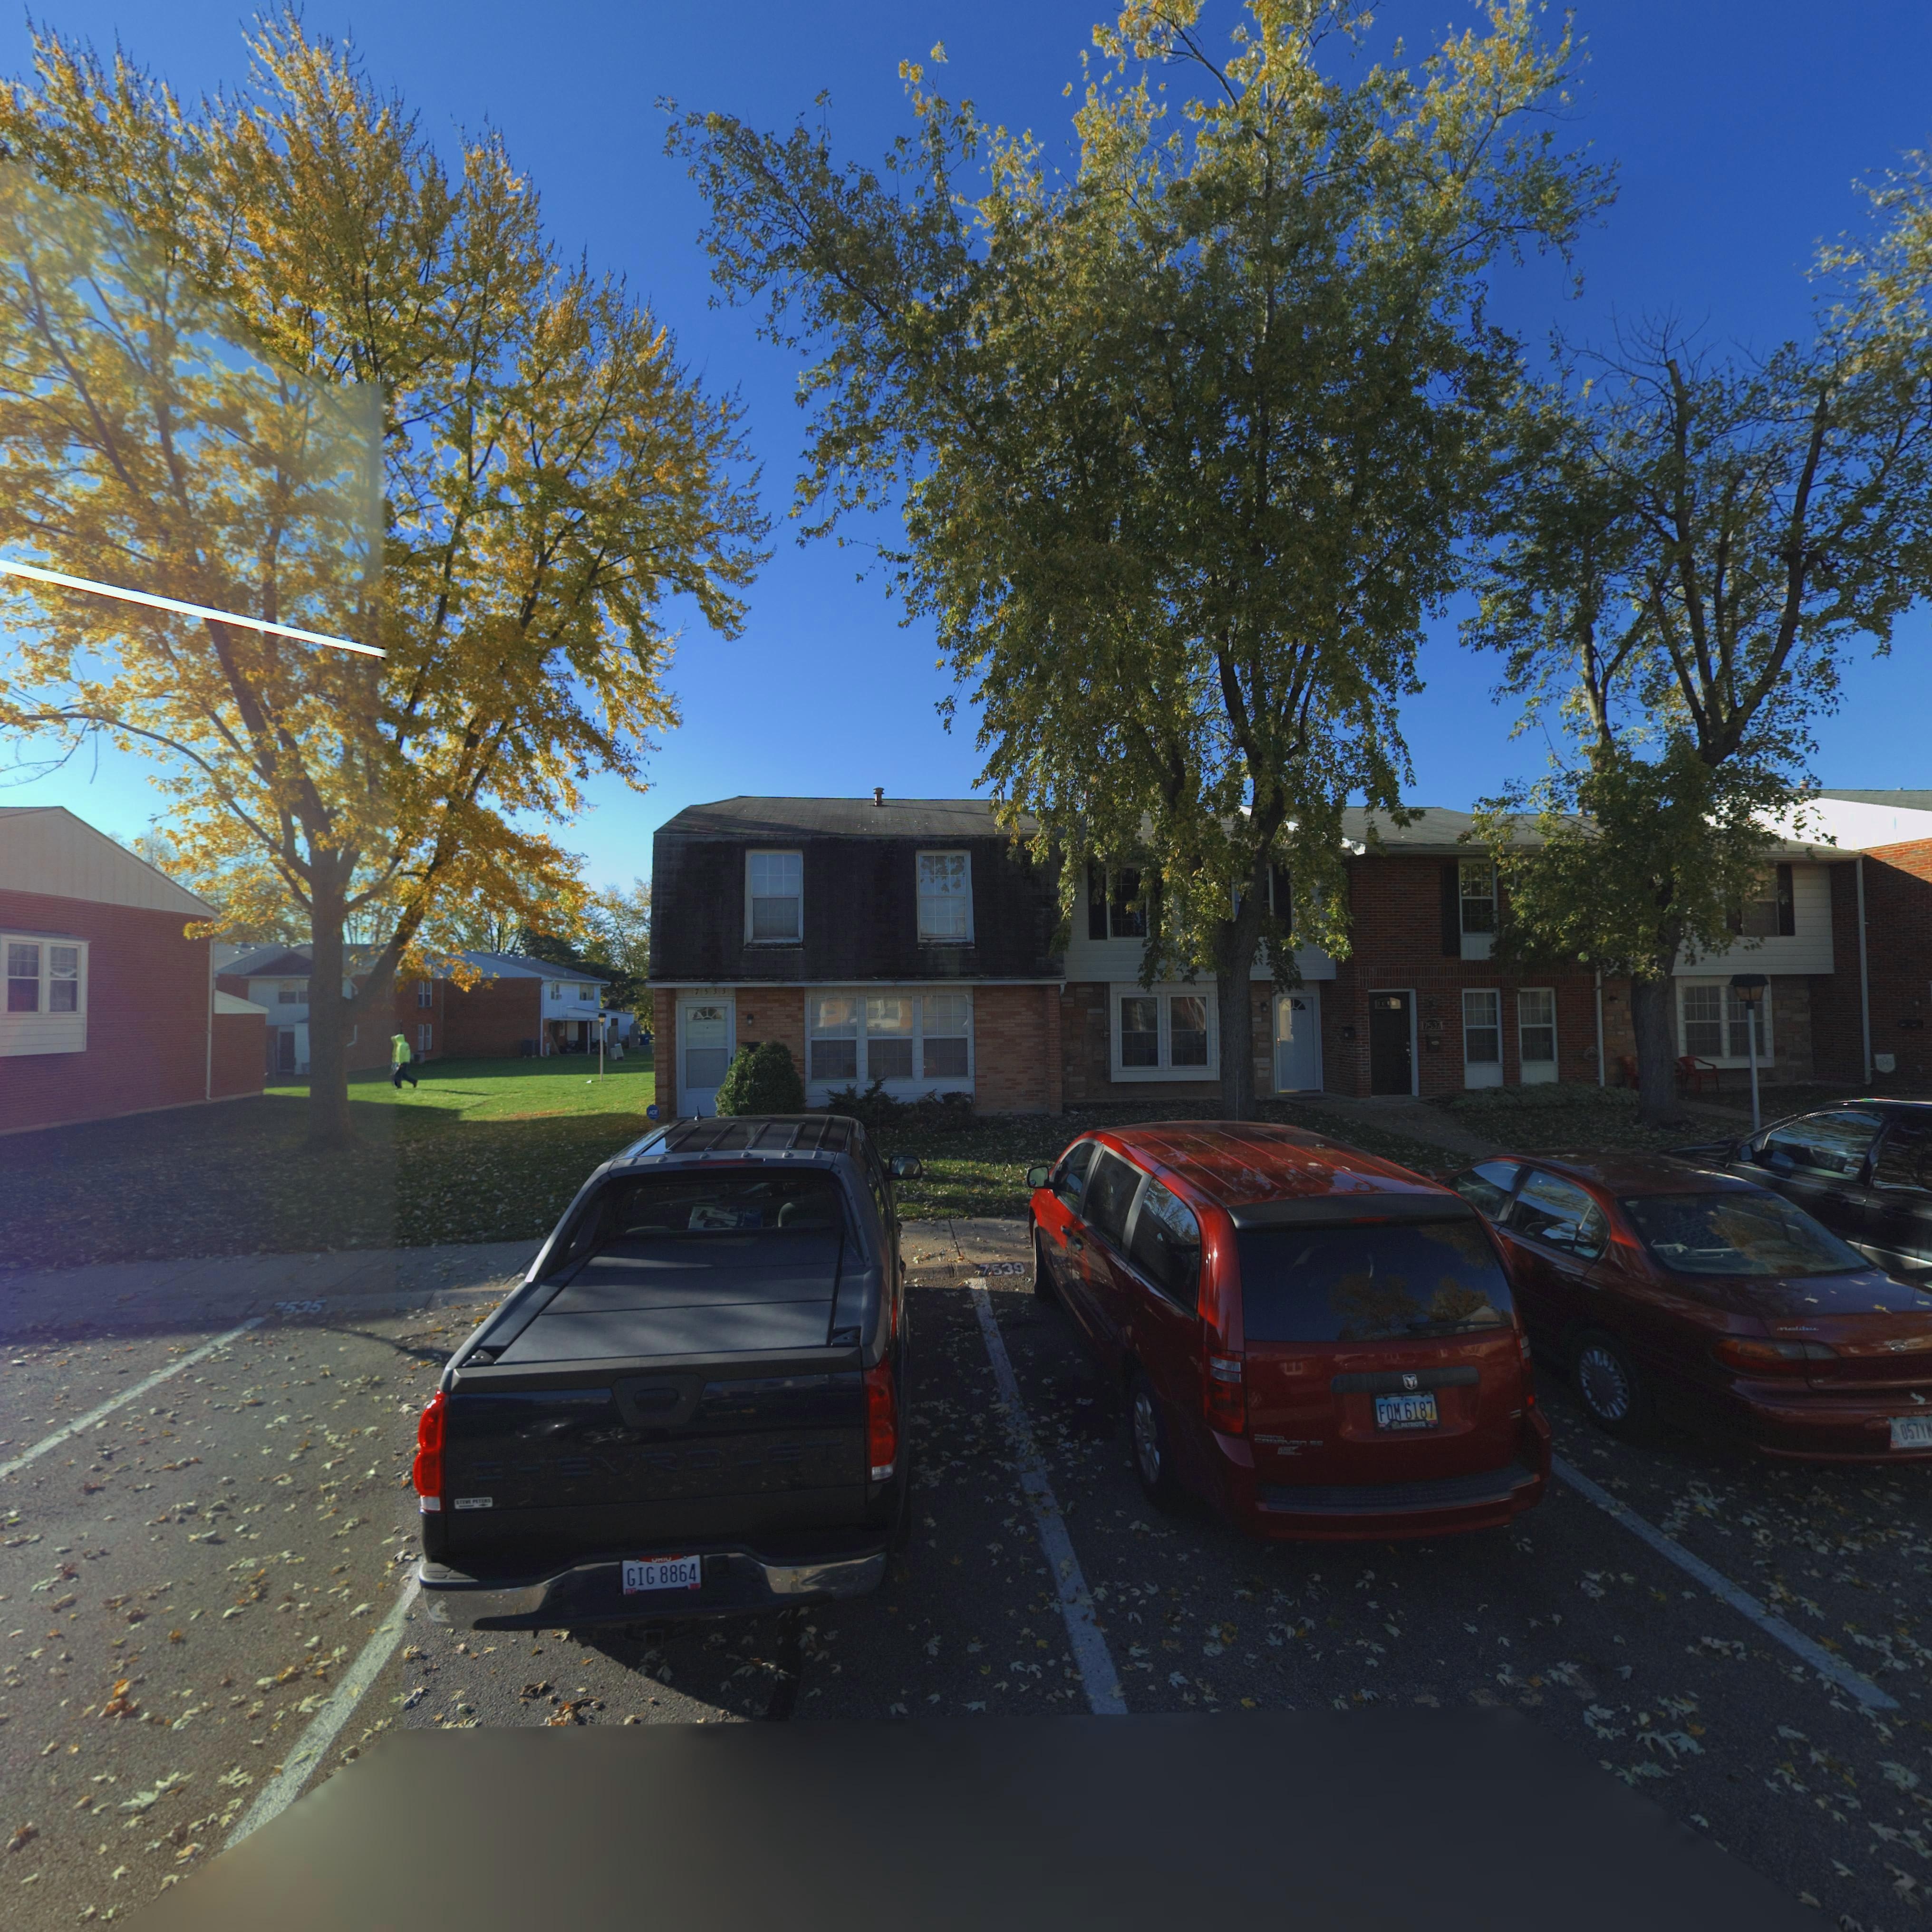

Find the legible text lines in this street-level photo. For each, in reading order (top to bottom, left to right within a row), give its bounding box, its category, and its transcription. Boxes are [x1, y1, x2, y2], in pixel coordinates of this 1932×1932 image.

[694, 987, 727, 996] StreetNumber: 7533
[1423, 1022, 1442, 1030] StreetNumber: 7537
[978, 1262, 1026, 1276] StreetNumber: 7539
[267, 1298, 329, 1315] StreetNumber: *535